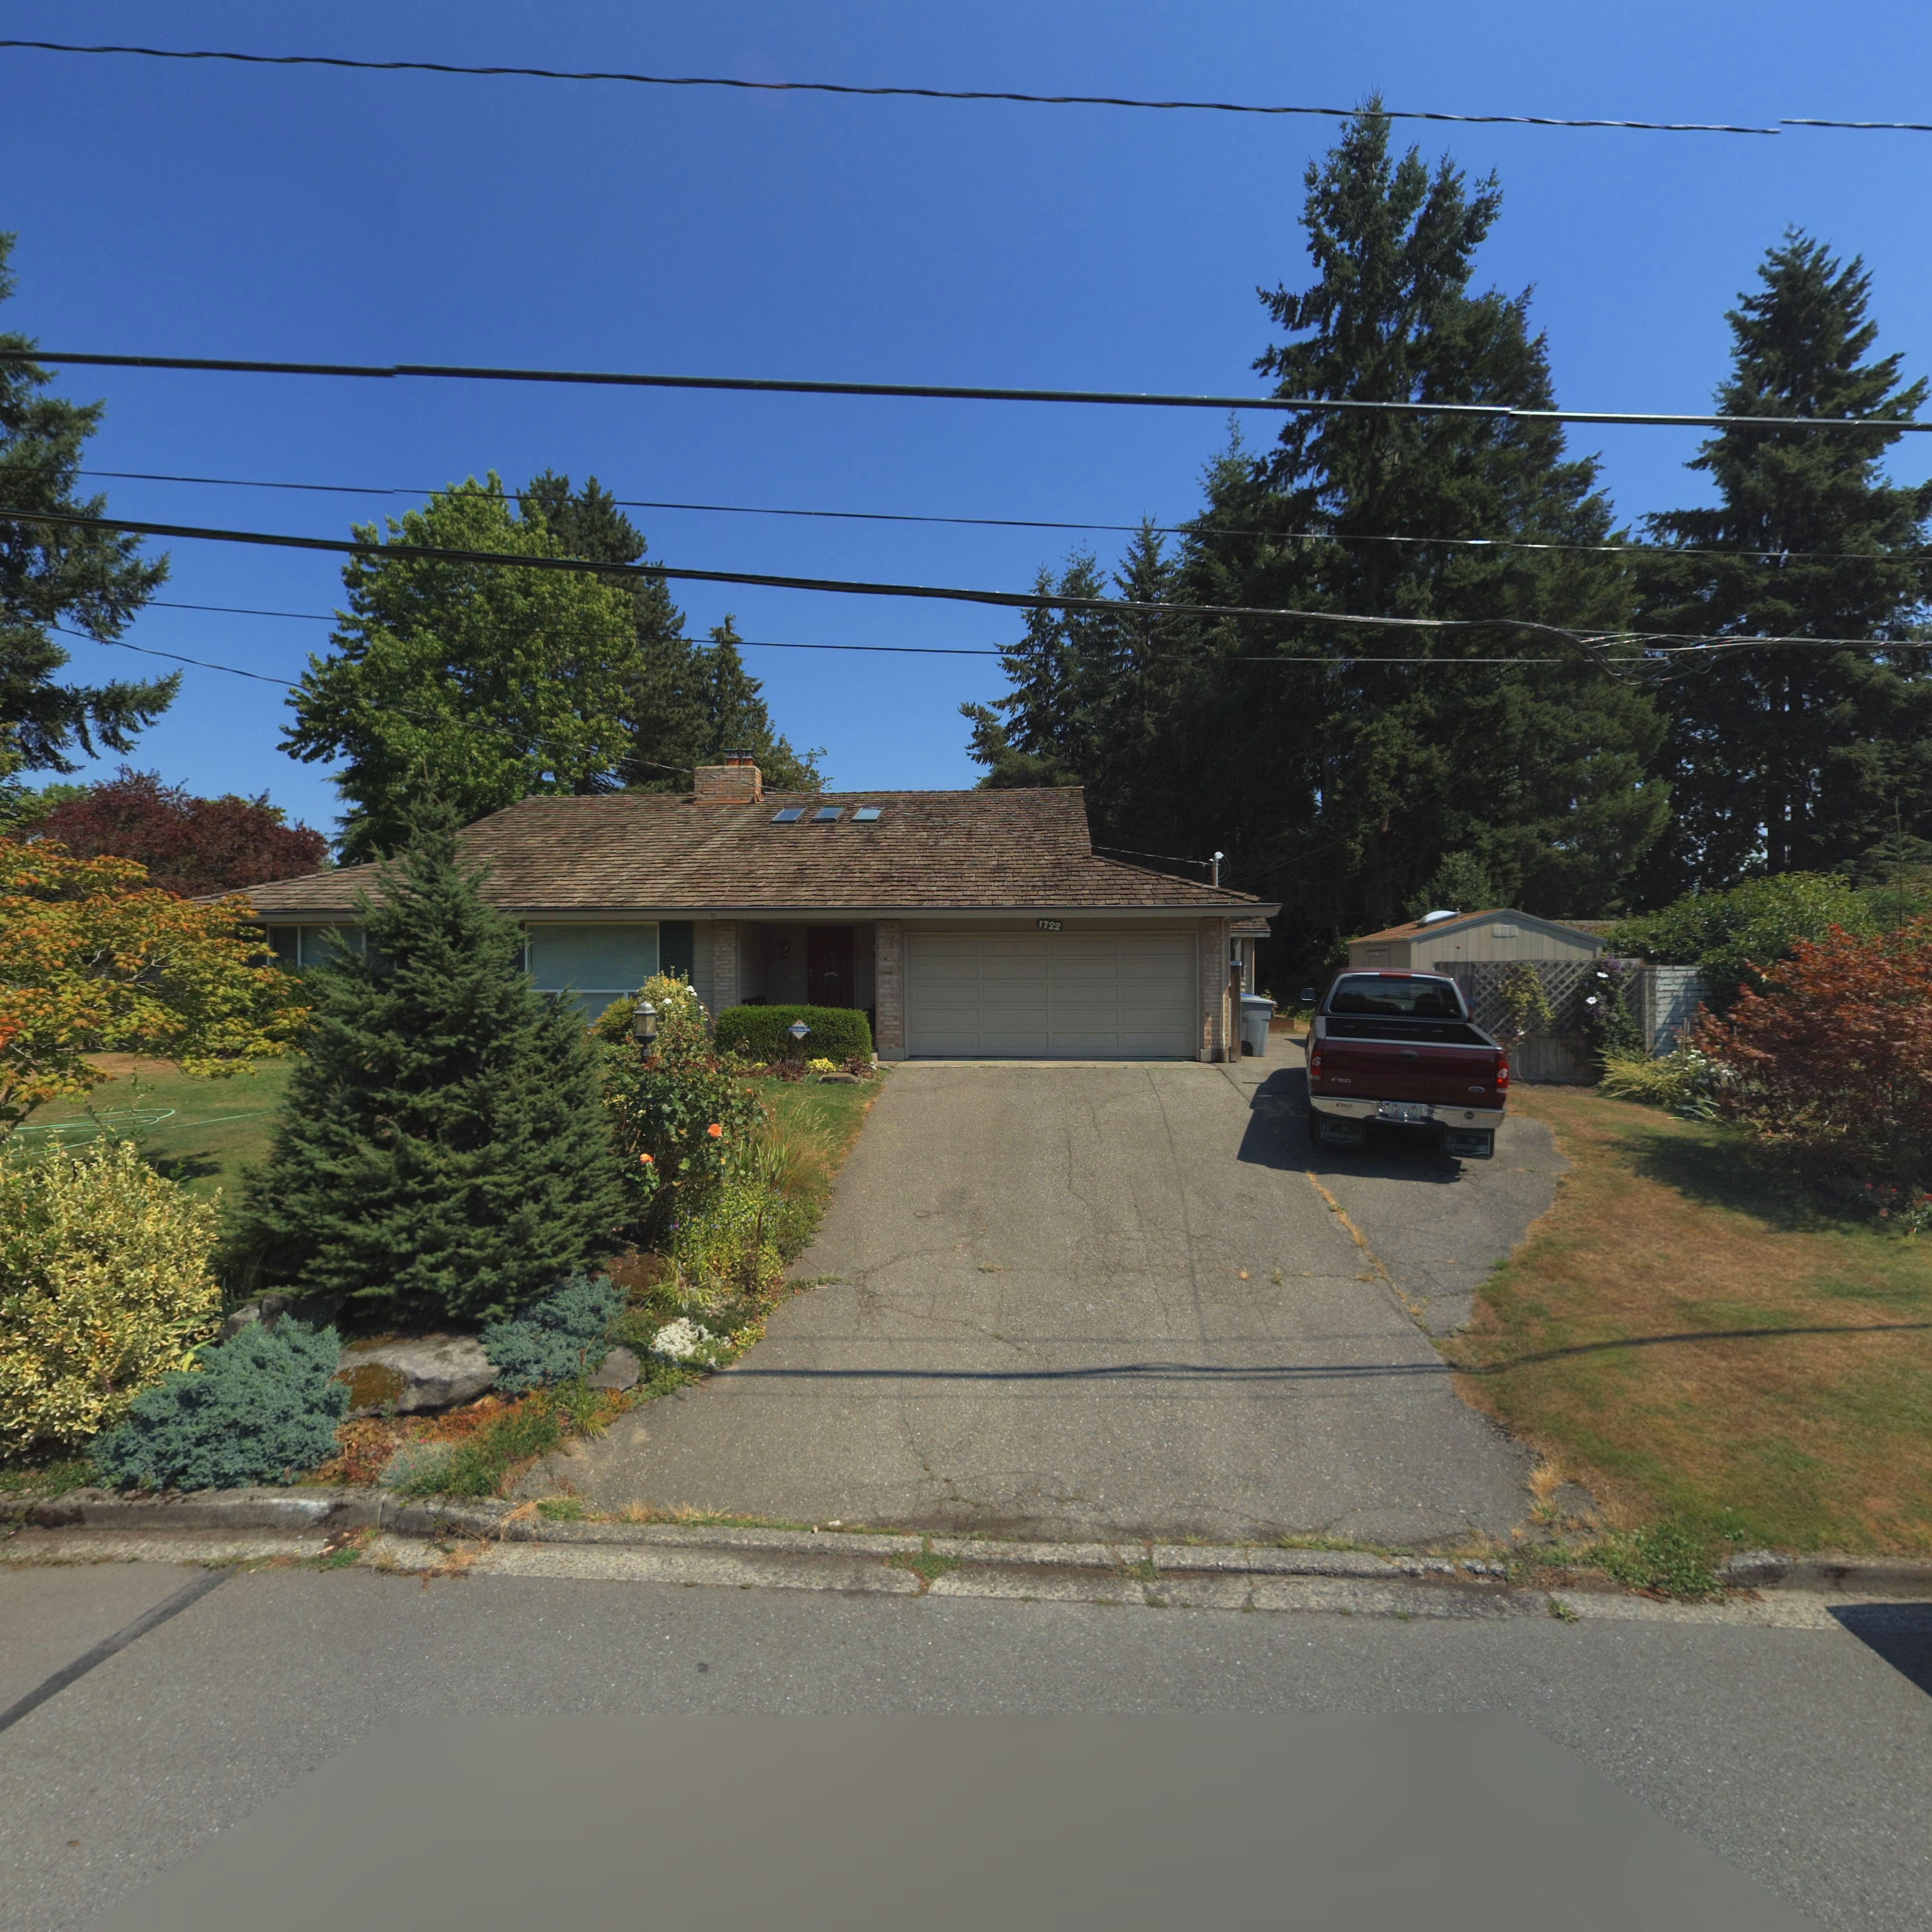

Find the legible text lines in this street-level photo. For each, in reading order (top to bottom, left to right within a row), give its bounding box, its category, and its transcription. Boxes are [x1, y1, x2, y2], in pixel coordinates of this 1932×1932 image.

[1039, 920, 1061, 930] StreetNumber: 1722